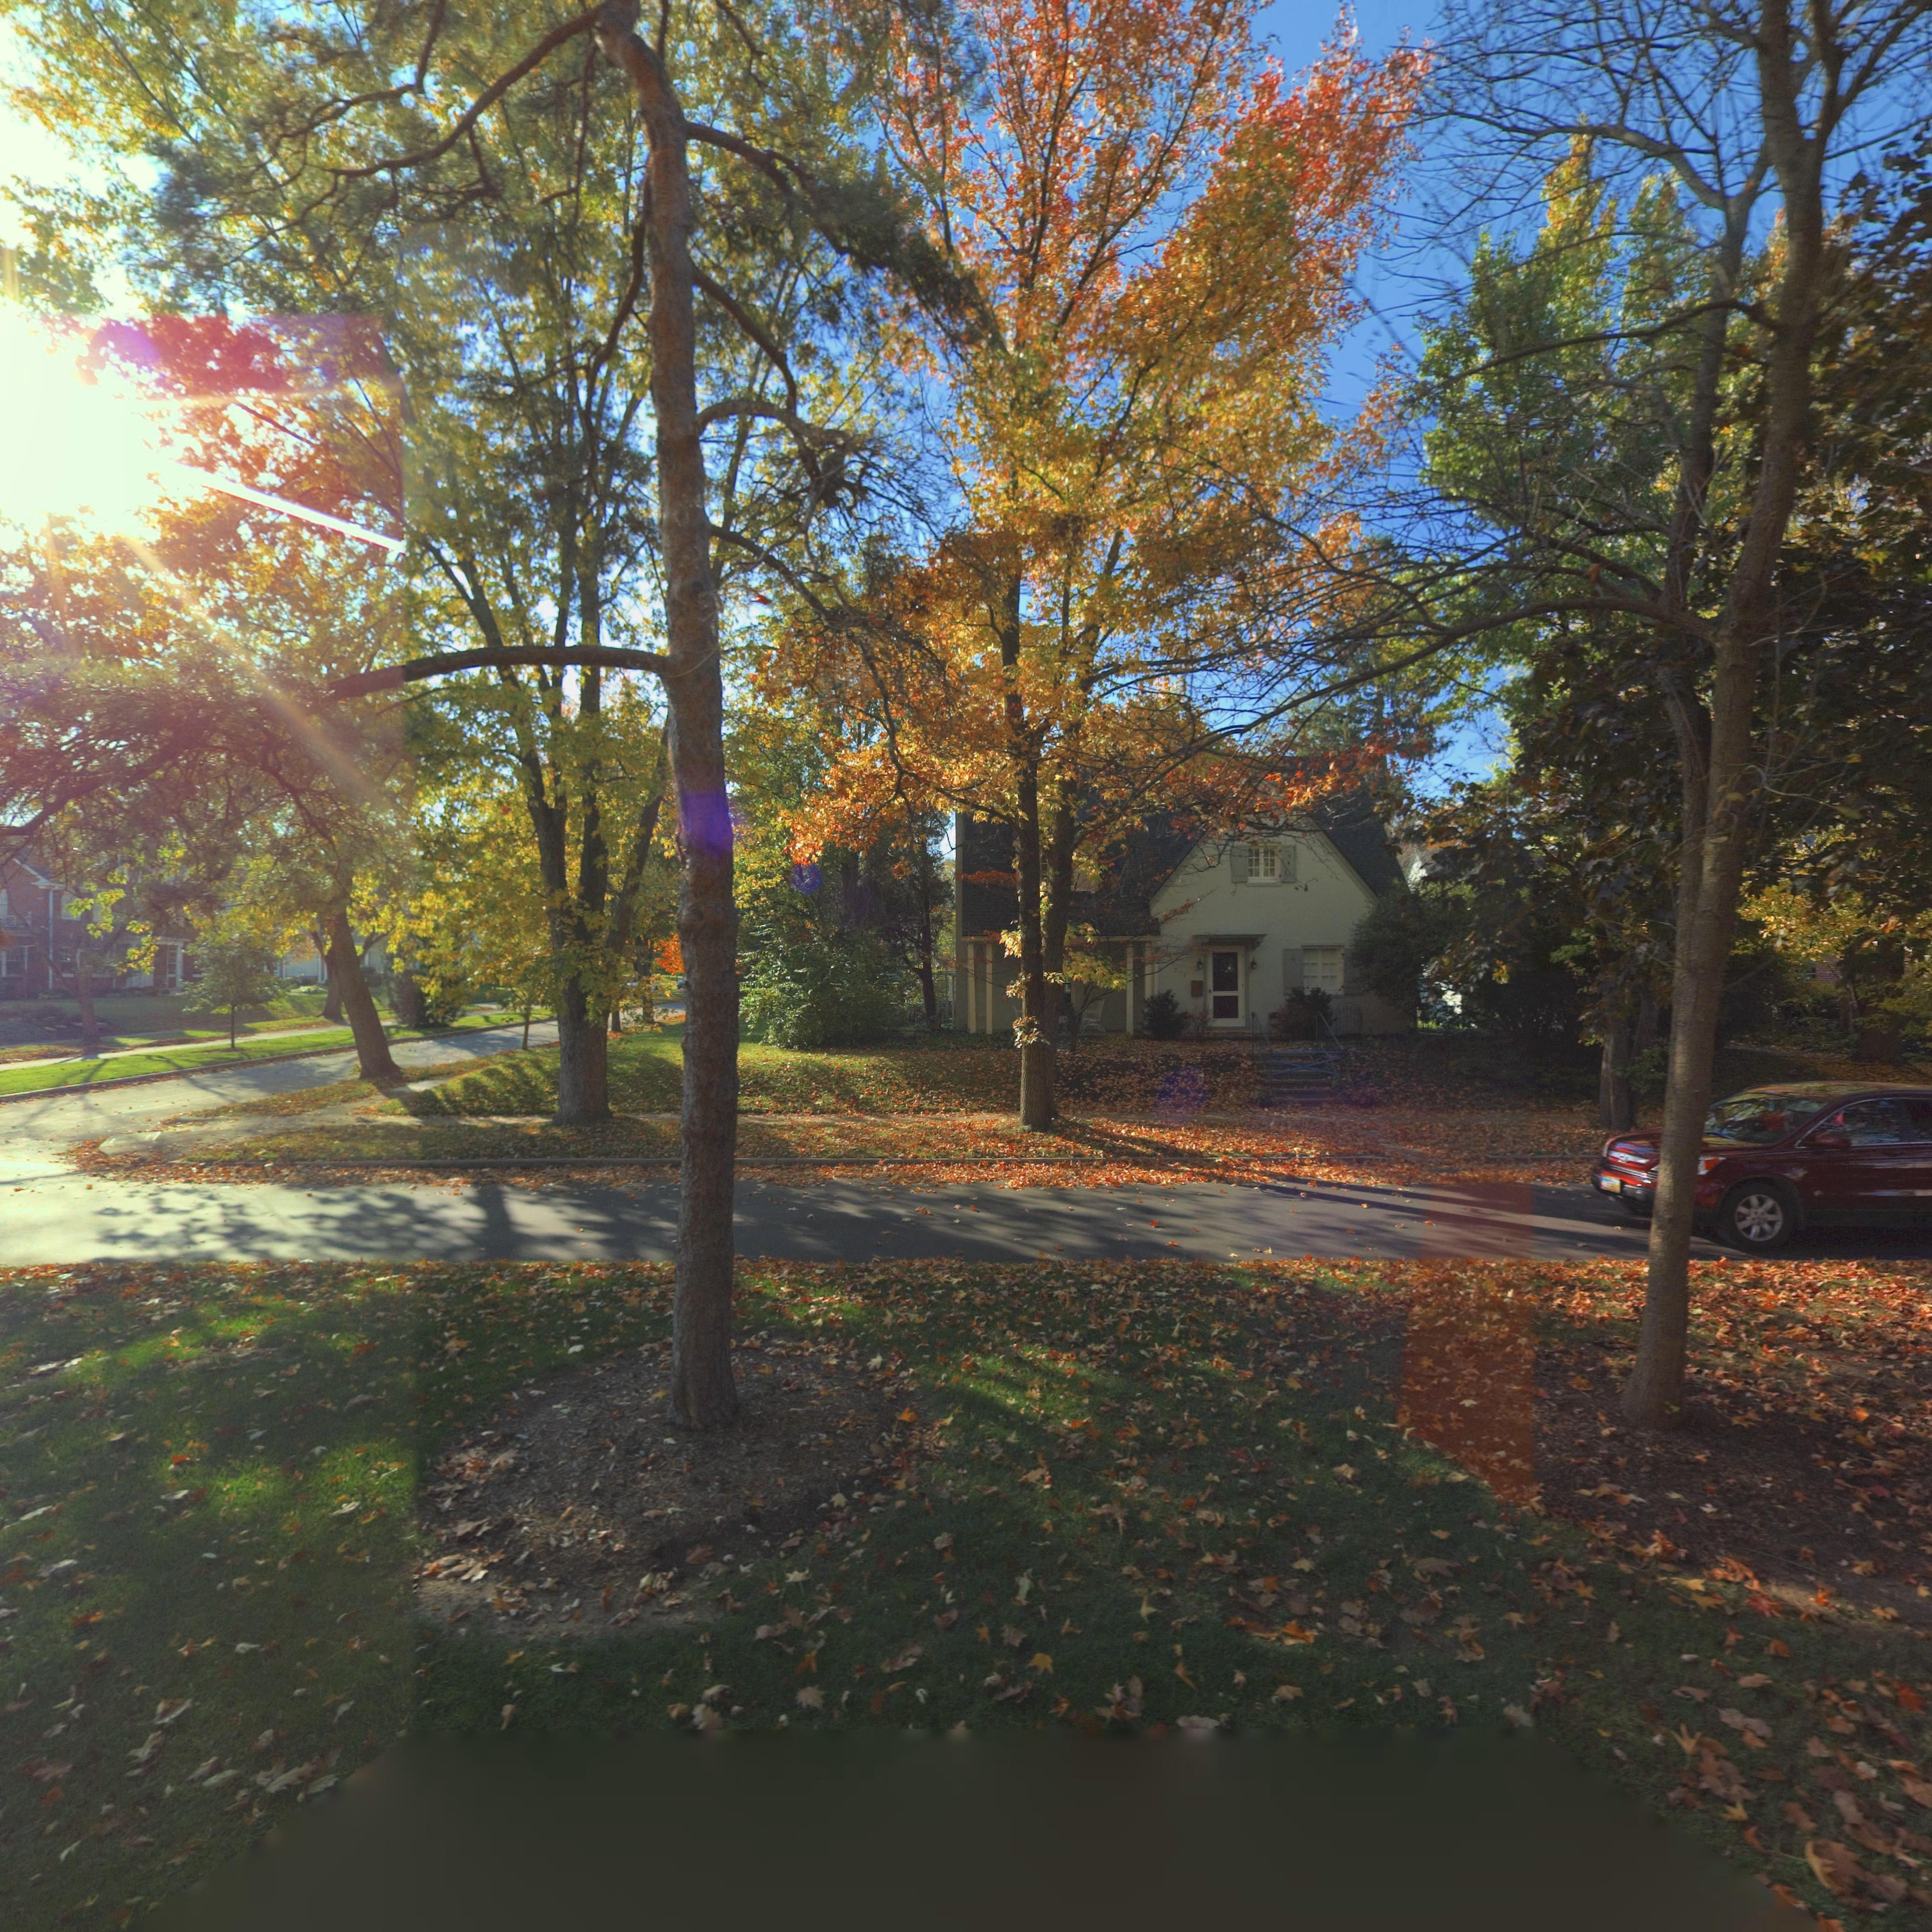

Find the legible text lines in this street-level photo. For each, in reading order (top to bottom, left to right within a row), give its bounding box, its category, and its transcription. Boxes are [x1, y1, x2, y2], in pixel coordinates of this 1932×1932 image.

[1173, 967, 1187, 979] StreetNumber: 71*